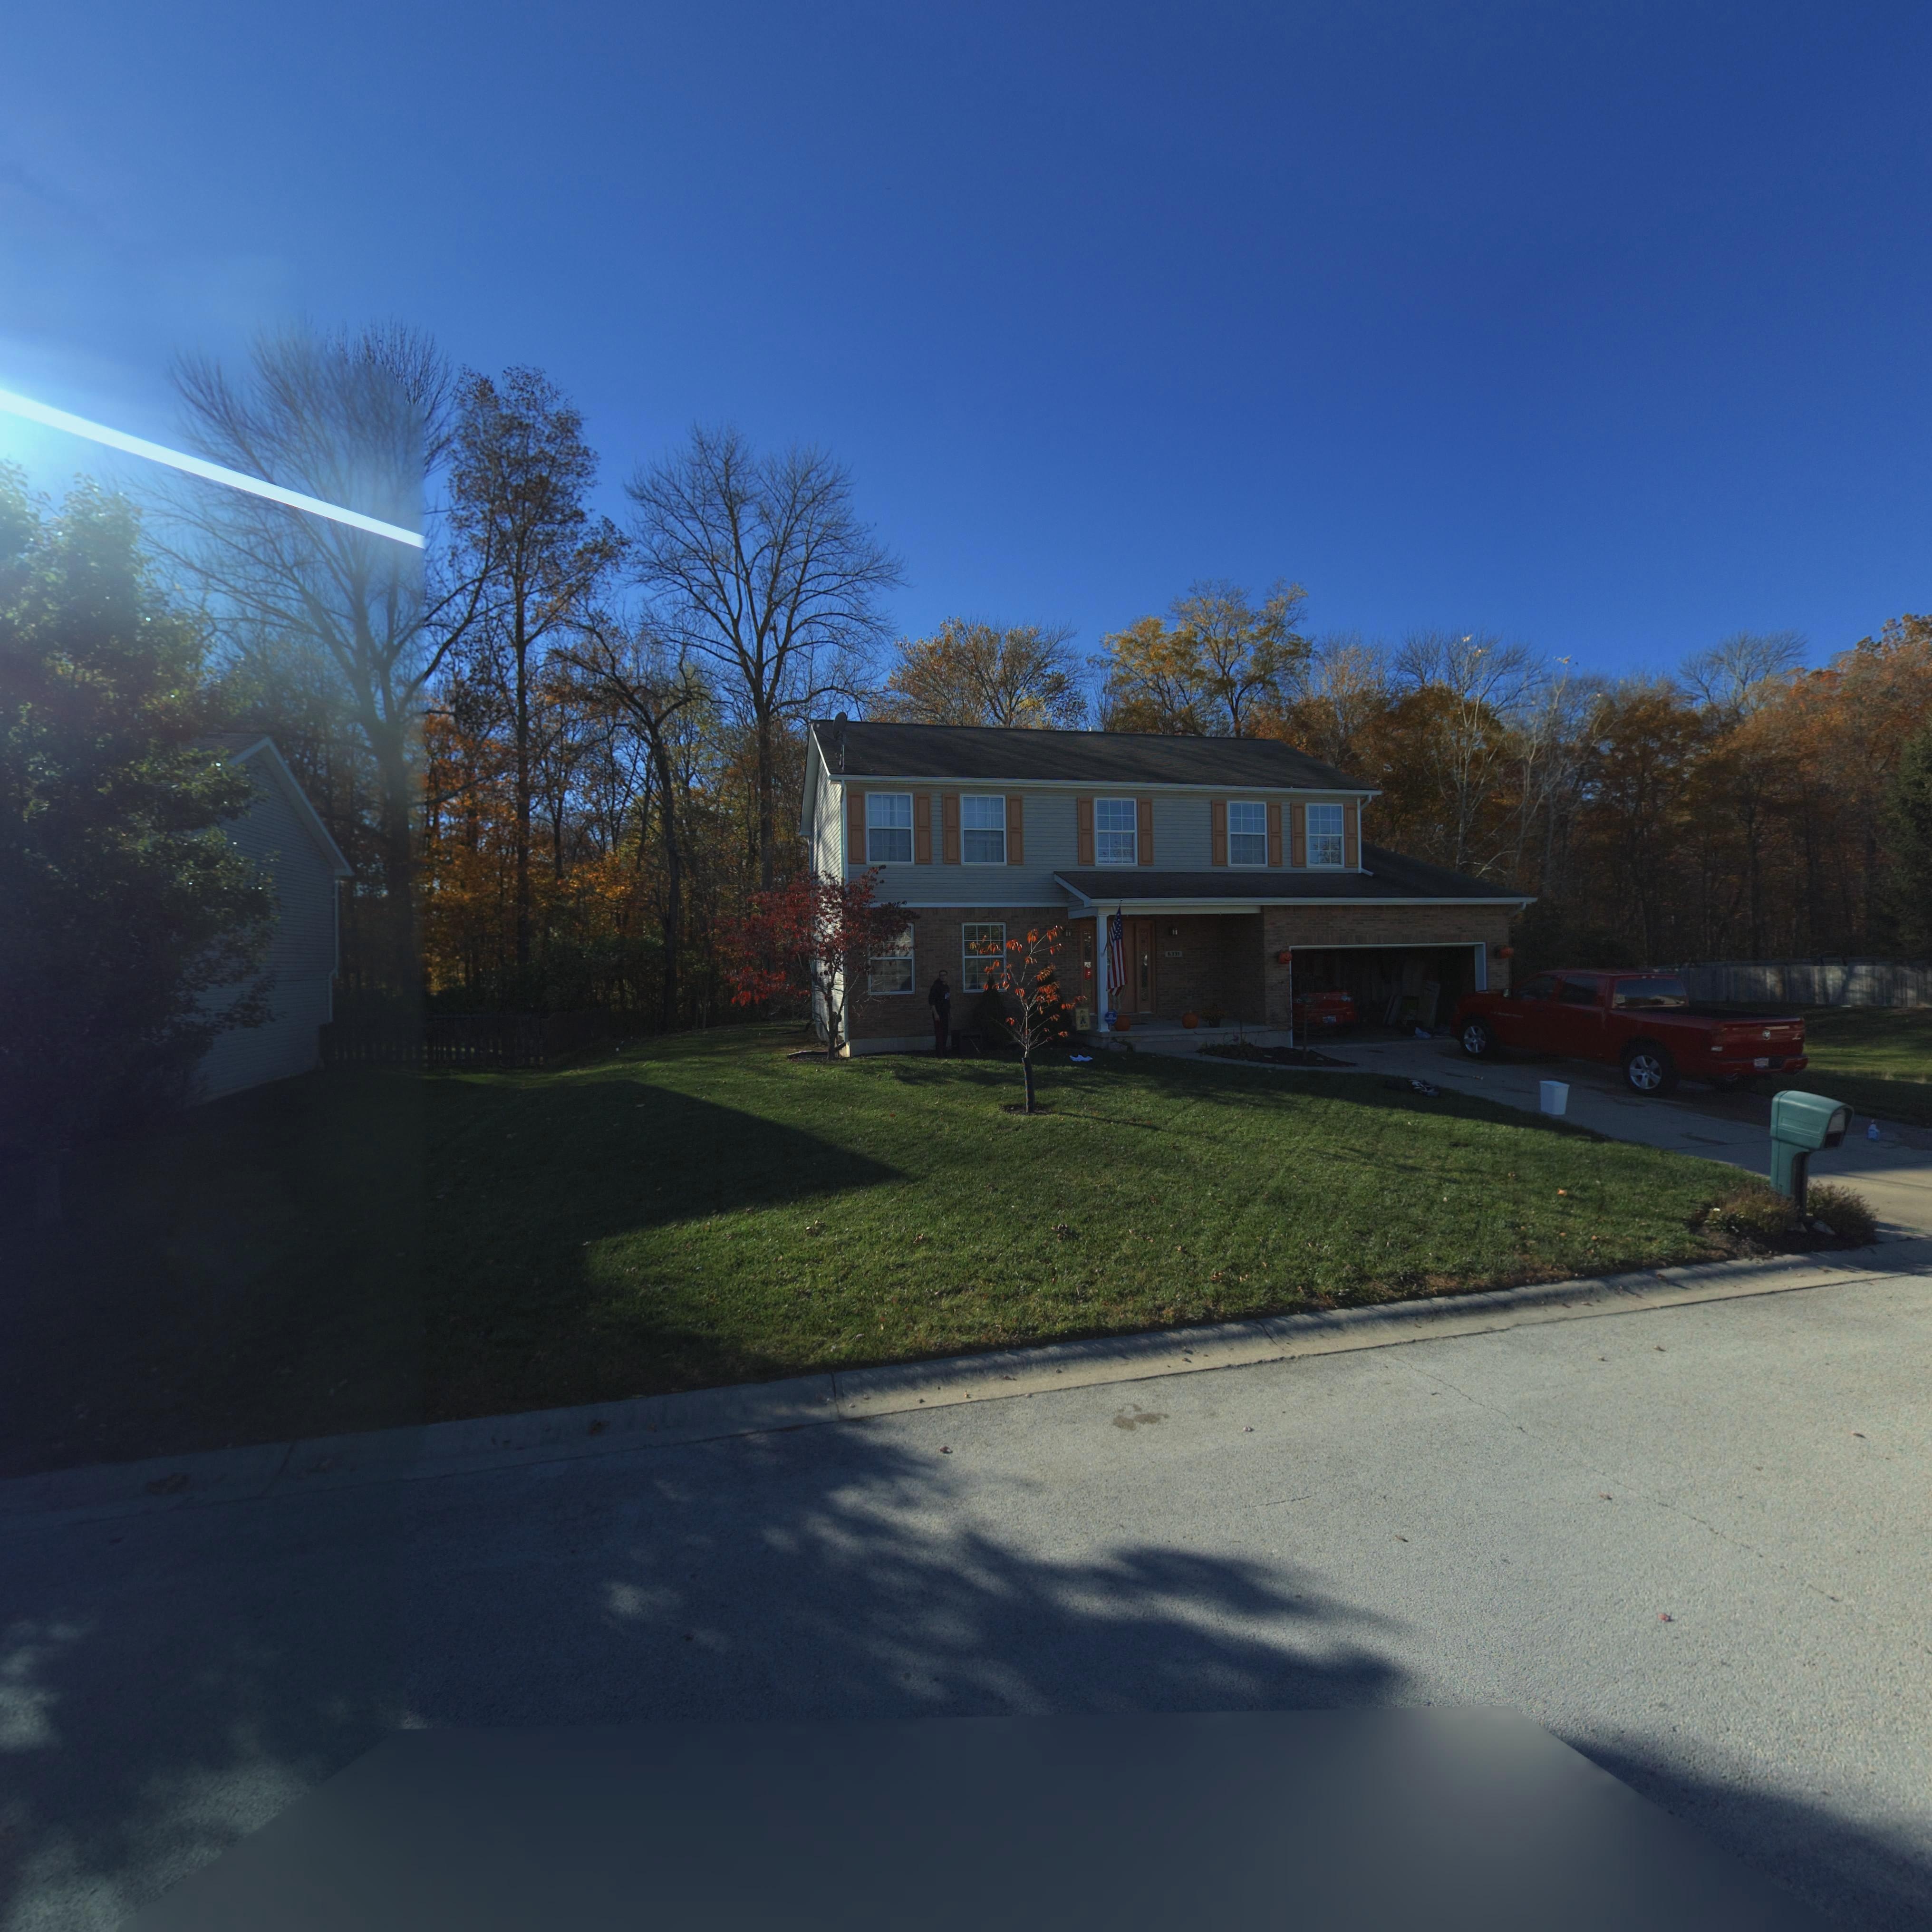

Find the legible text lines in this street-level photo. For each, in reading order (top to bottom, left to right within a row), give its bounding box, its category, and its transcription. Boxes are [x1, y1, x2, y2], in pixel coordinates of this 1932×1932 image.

[1167, 951, 1180, 956] StreetNumber: 633*